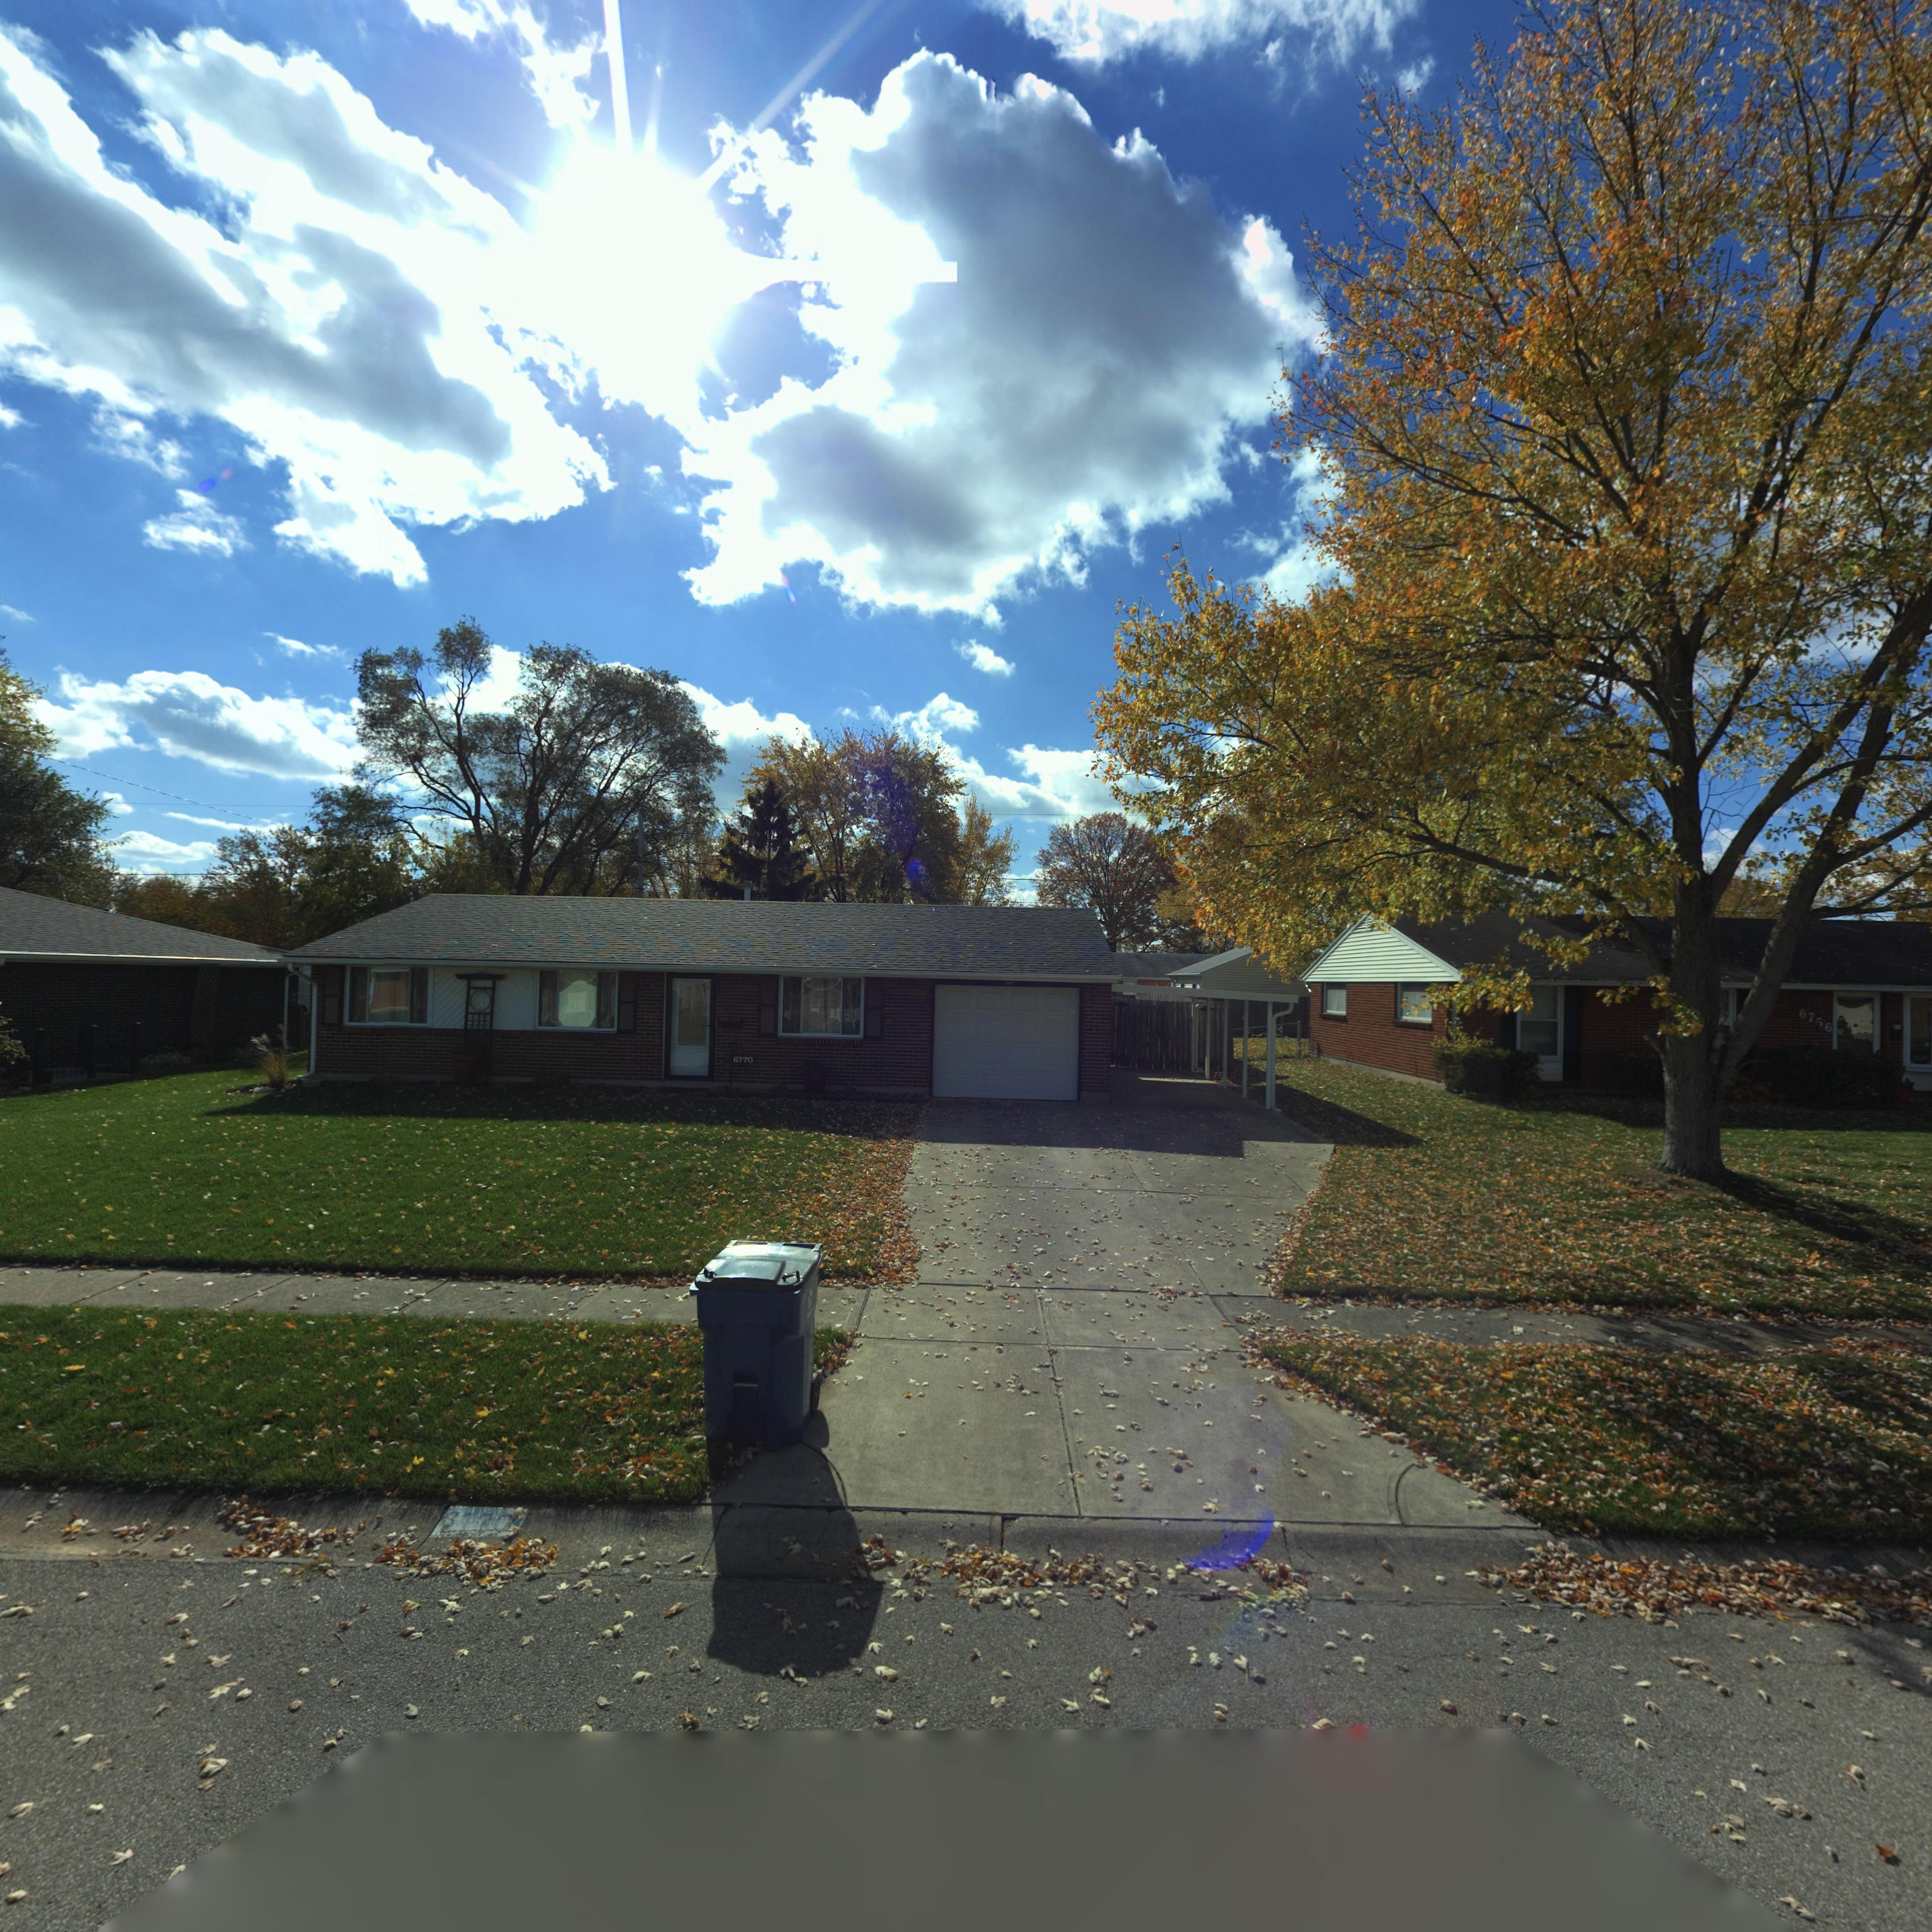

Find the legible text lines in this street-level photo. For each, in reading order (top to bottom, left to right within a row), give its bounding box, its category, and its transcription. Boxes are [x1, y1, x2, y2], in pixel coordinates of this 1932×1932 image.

[1798, 1007, 1833, 1033] StreetNumber: 6756
[733, 1055, 754, 1064] StreetNumber: 6770
[440, 1509, 514, 1535] StreetNumber: 6770